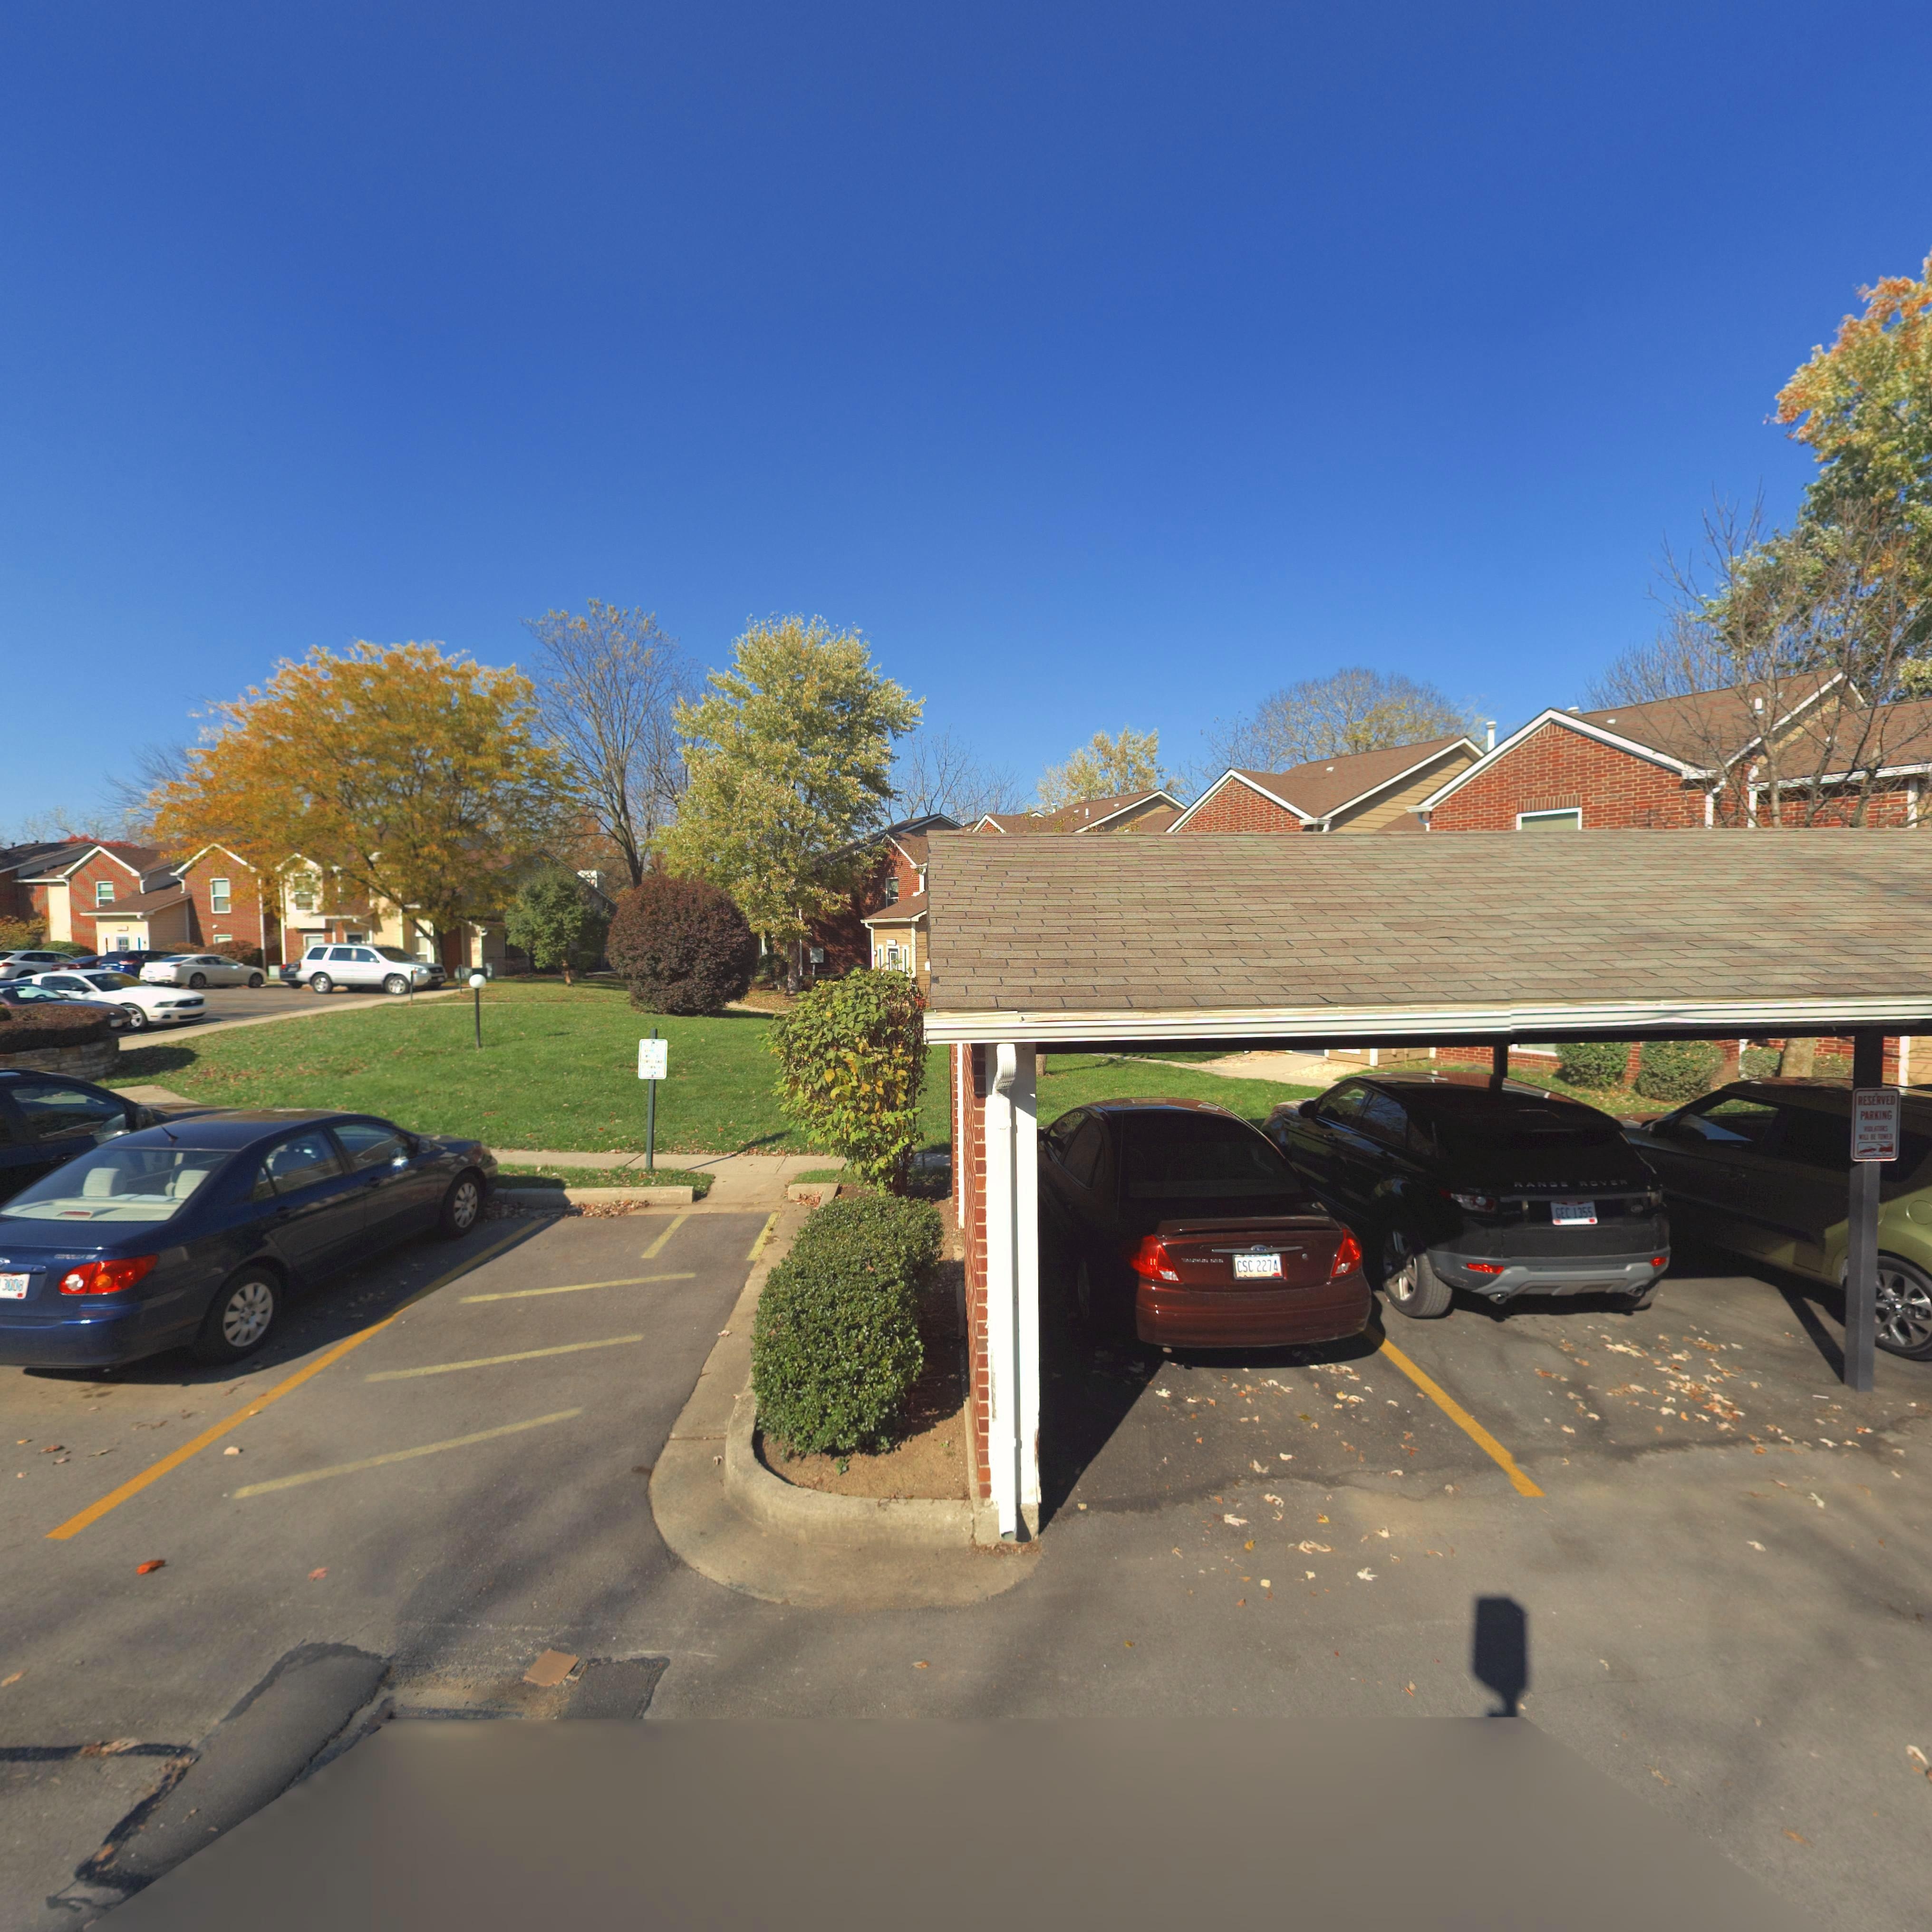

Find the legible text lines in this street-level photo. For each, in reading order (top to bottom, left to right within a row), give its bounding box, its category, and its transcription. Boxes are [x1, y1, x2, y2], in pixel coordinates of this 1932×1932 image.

[1856, 1093, 1897, 1107] None: RESERVED
[1858, 1108, 1894, 1122] None: PARKING
[1512, 1178, 1632, 1189] None: RANGE ROVER
[1554, 1204, 1595, 1221] None: GEC 1355
[1235, 1258, 1281, 1274] None: CSC 2274